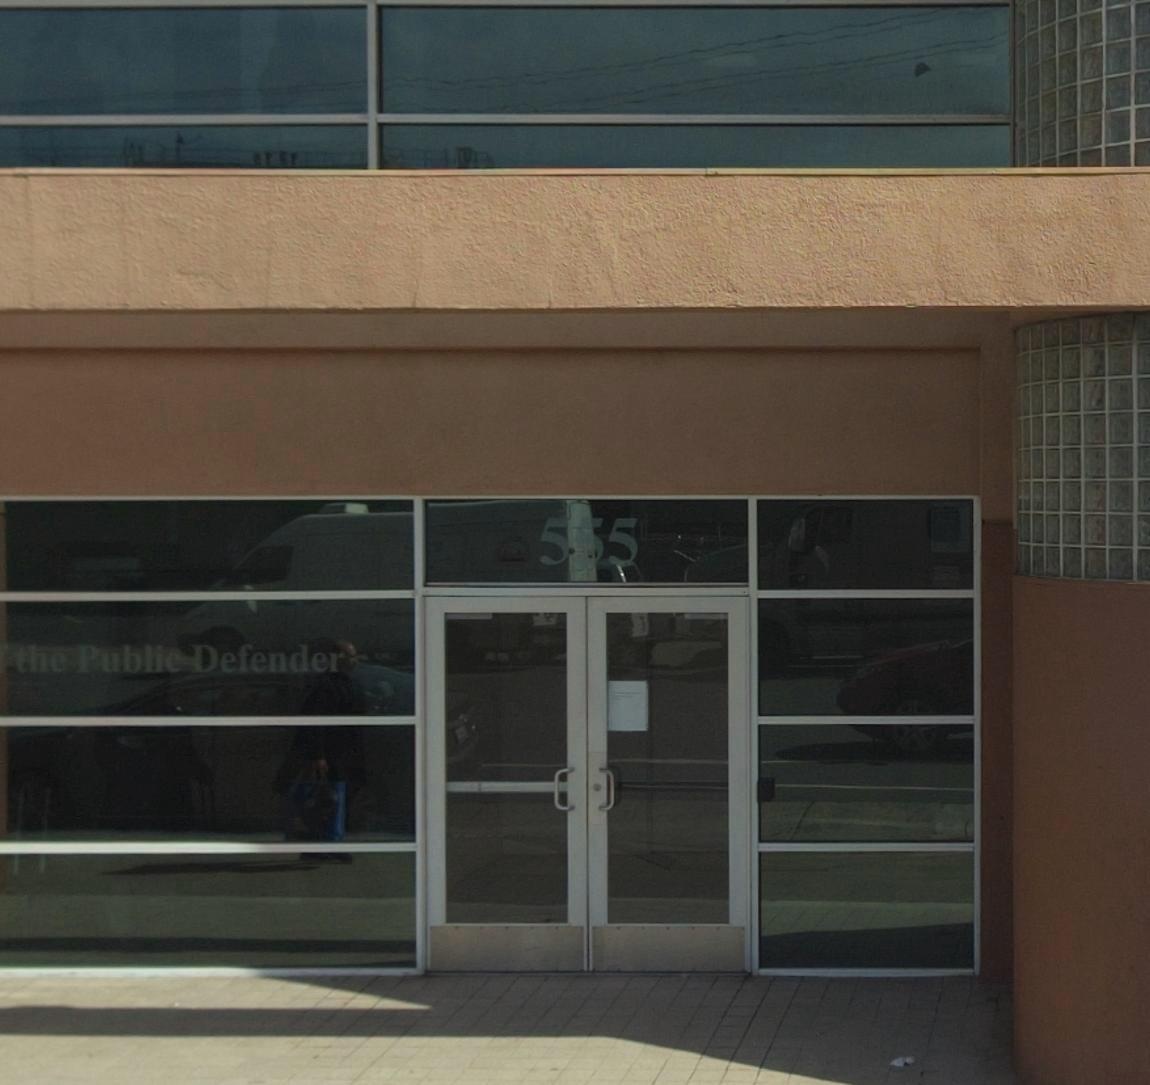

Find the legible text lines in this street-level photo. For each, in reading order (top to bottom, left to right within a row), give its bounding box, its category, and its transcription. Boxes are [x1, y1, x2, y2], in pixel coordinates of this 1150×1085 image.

[534, 514, 645, 571] StreetNumber: 555
[11, 638, 351, 679] BusinessName: the Public Defender